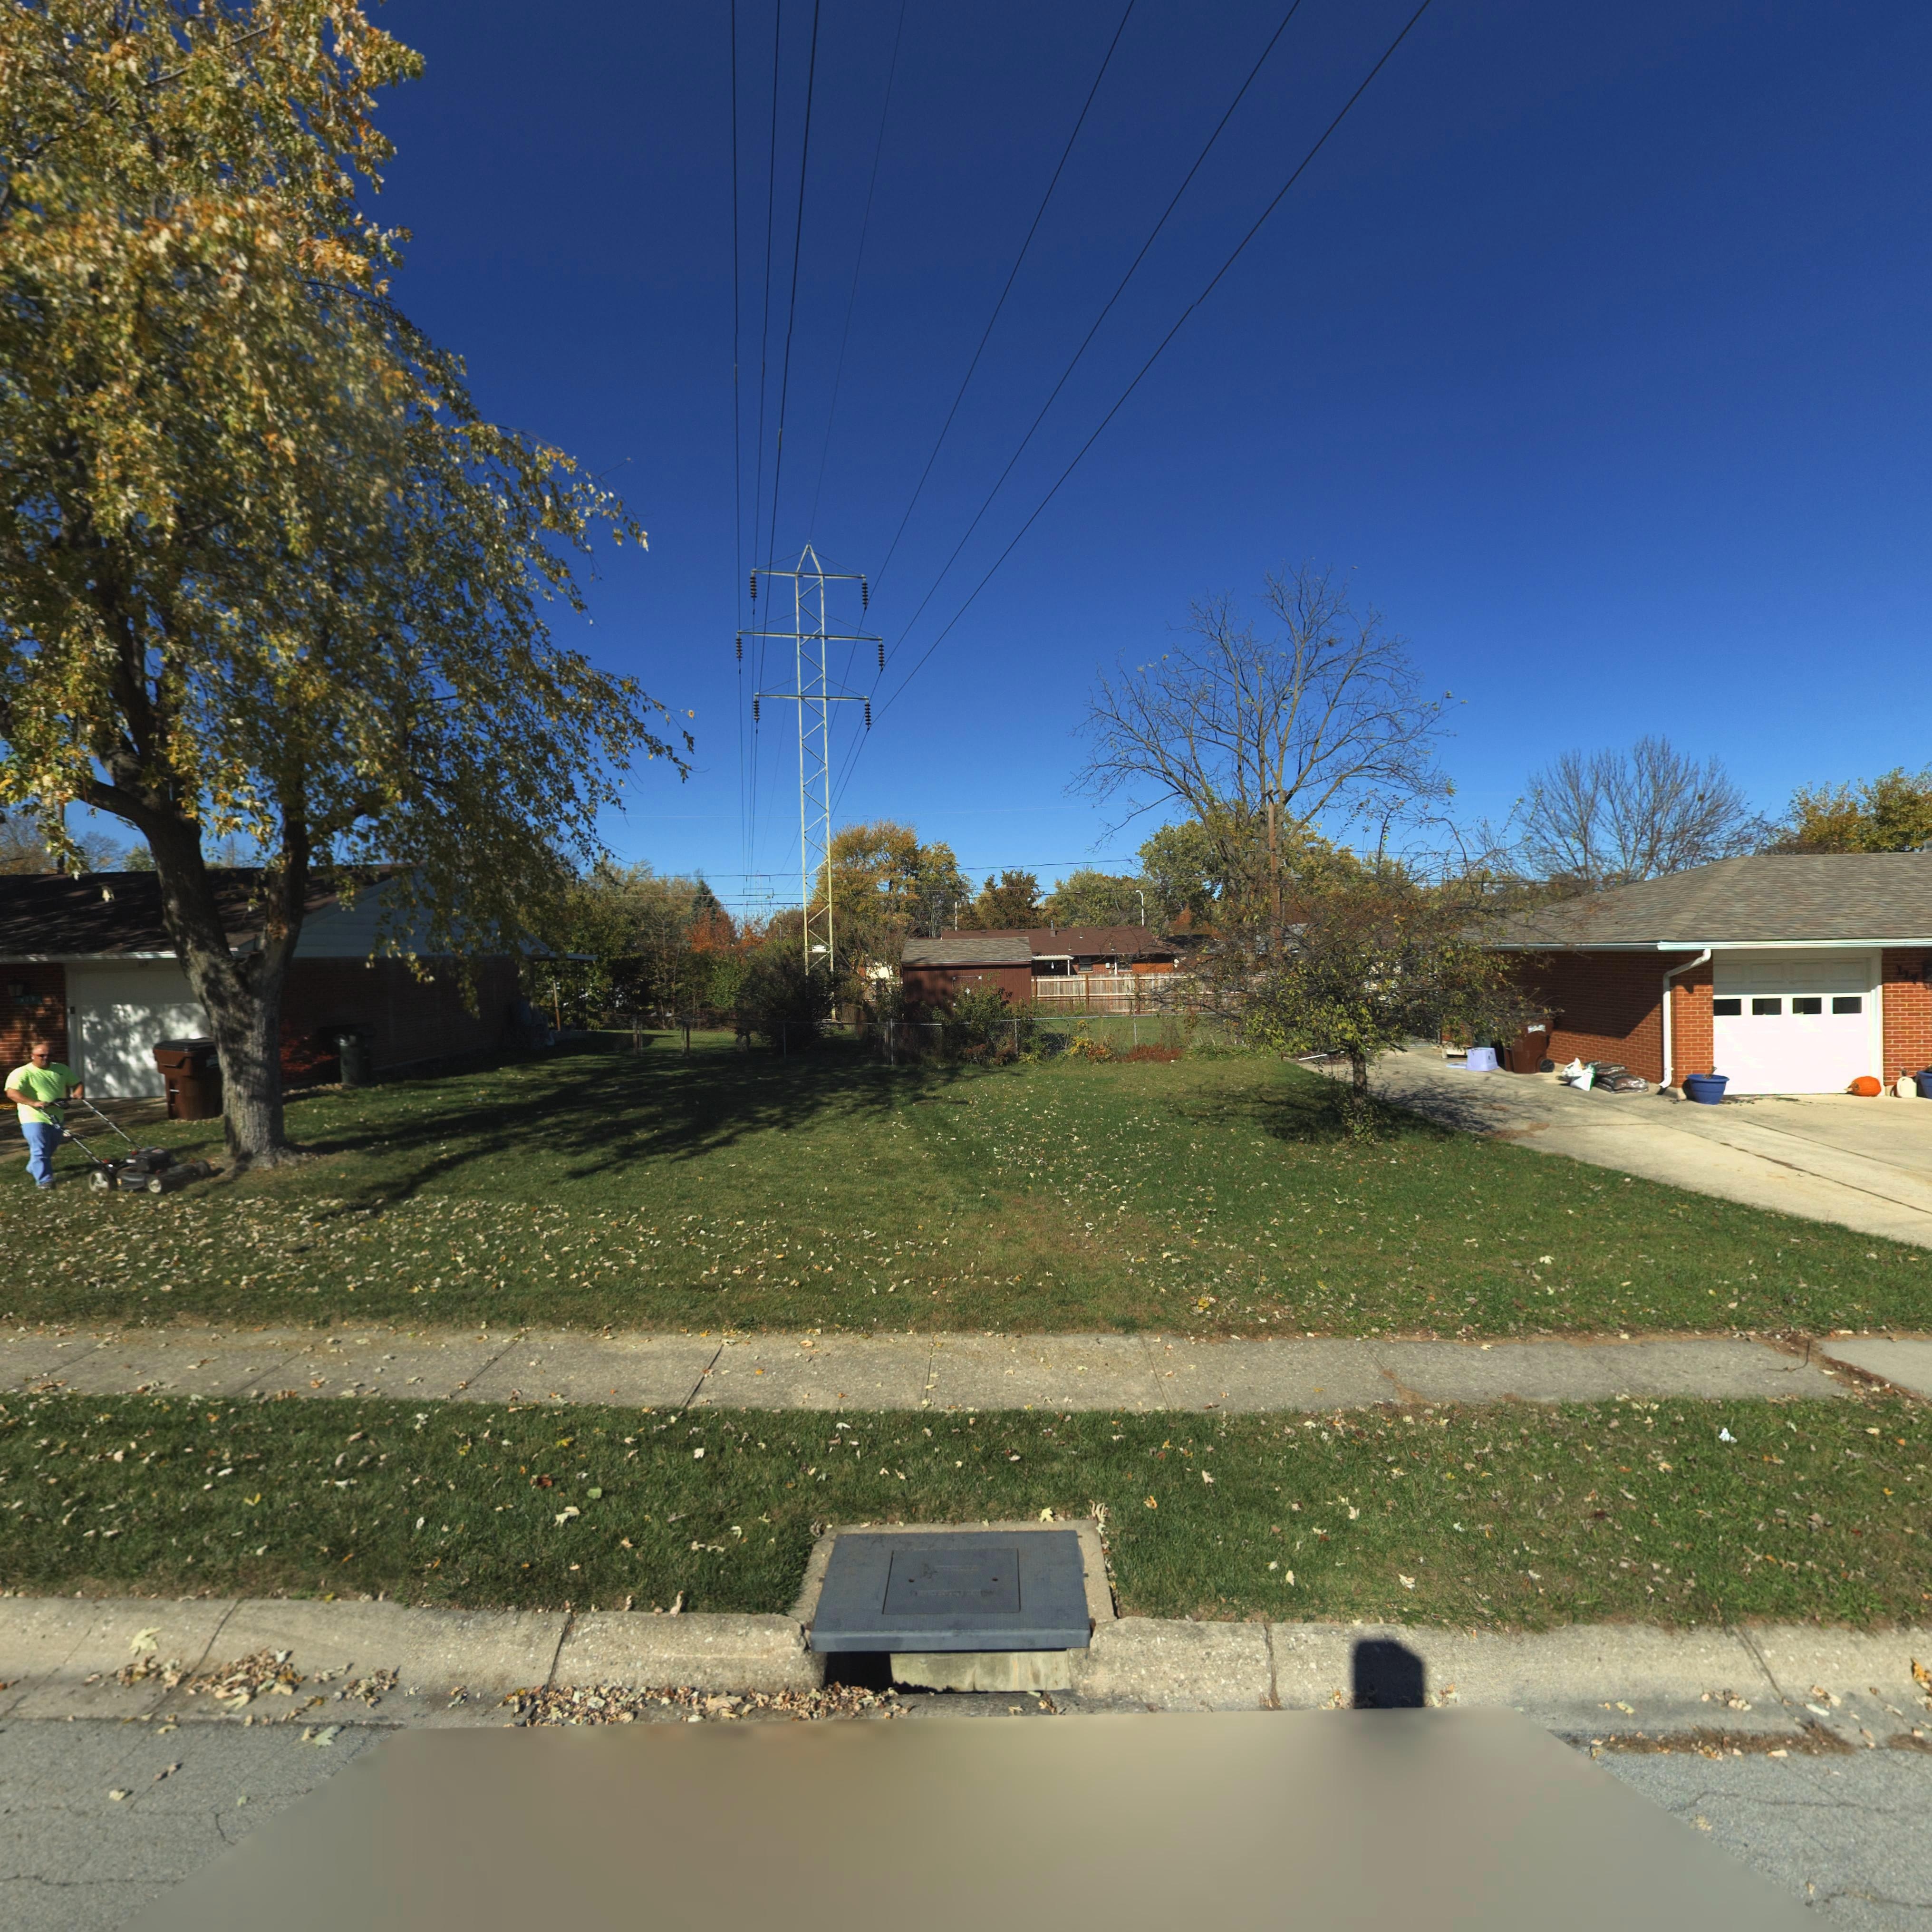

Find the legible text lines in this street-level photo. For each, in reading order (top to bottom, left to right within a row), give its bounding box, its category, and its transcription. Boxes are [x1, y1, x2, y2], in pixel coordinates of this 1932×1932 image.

[1894, 964, 1919, 985] StreetNumber: 11*